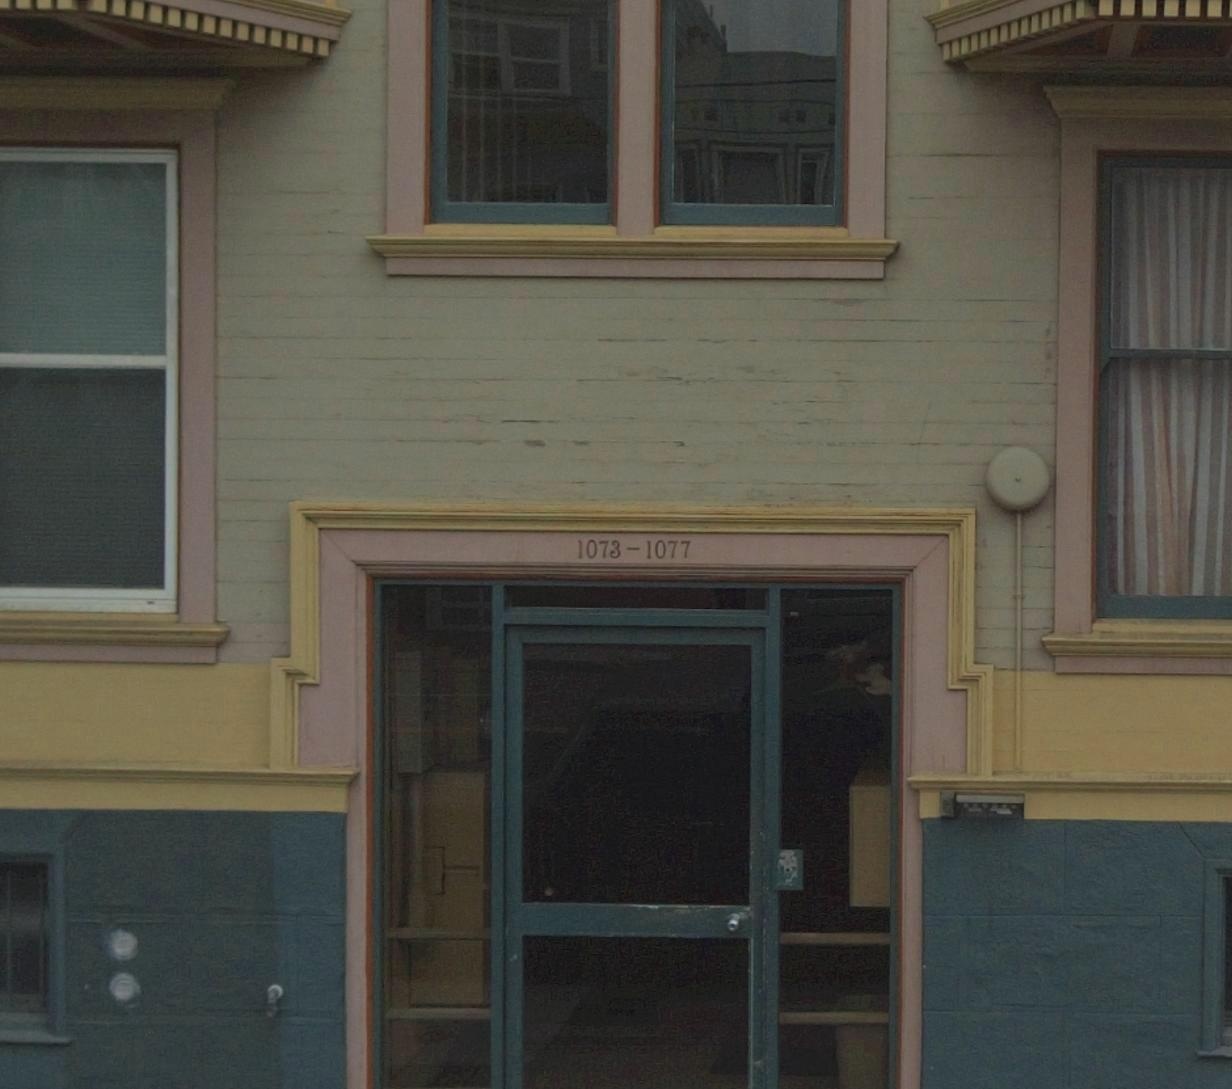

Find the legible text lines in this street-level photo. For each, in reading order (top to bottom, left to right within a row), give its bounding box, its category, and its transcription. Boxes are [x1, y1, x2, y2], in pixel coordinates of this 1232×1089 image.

[576, 538, 622, 560] StreetNumber: 1073
[644, 538, 692, 560] StreetNumber: 1077